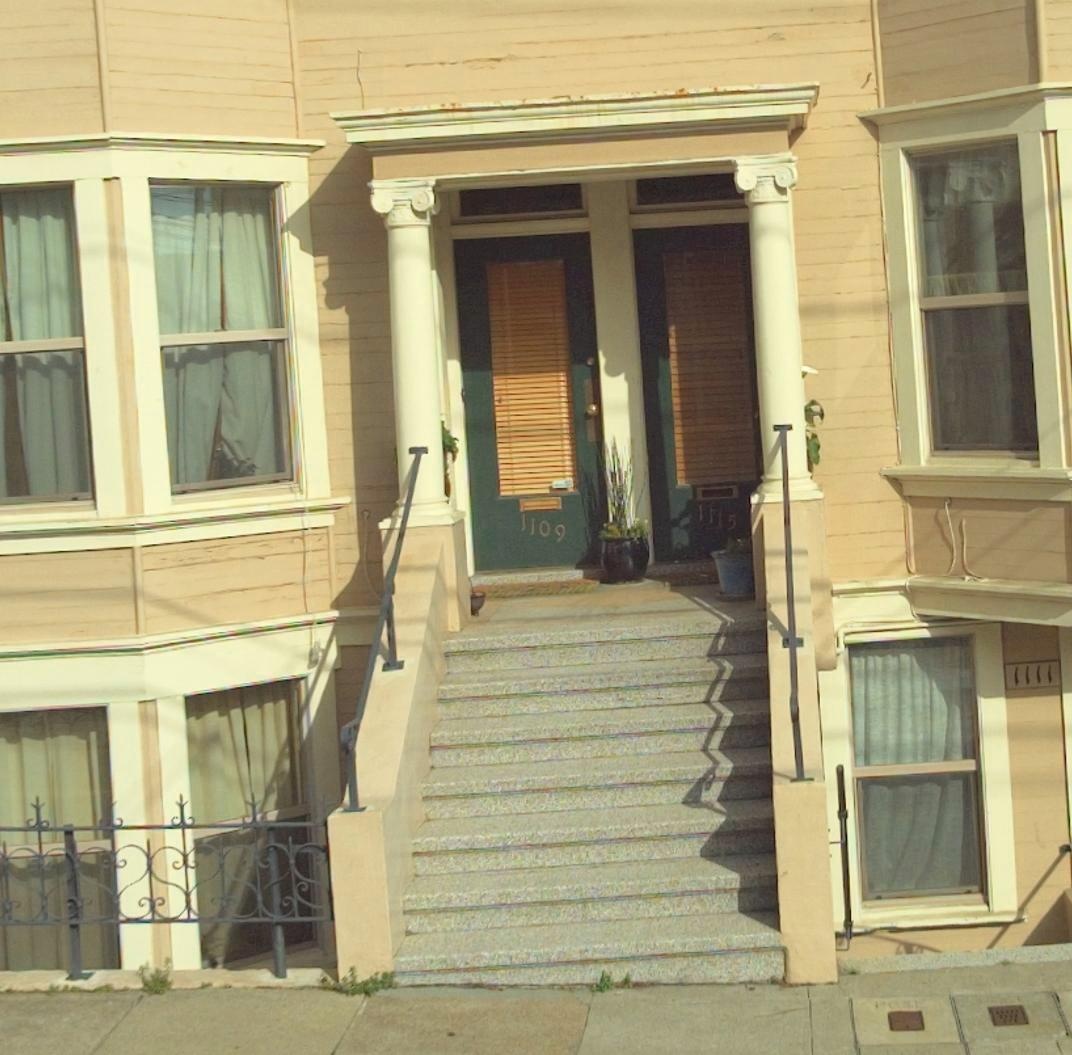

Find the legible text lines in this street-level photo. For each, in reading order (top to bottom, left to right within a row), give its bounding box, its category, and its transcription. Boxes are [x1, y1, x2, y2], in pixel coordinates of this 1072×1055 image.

[521, 512, 566, 544] StreetNumber: 1109
[697, 504, 737, 534] StreetNumber: 1115
[1013, 664, 1054, 686] StreetNumber: 1111